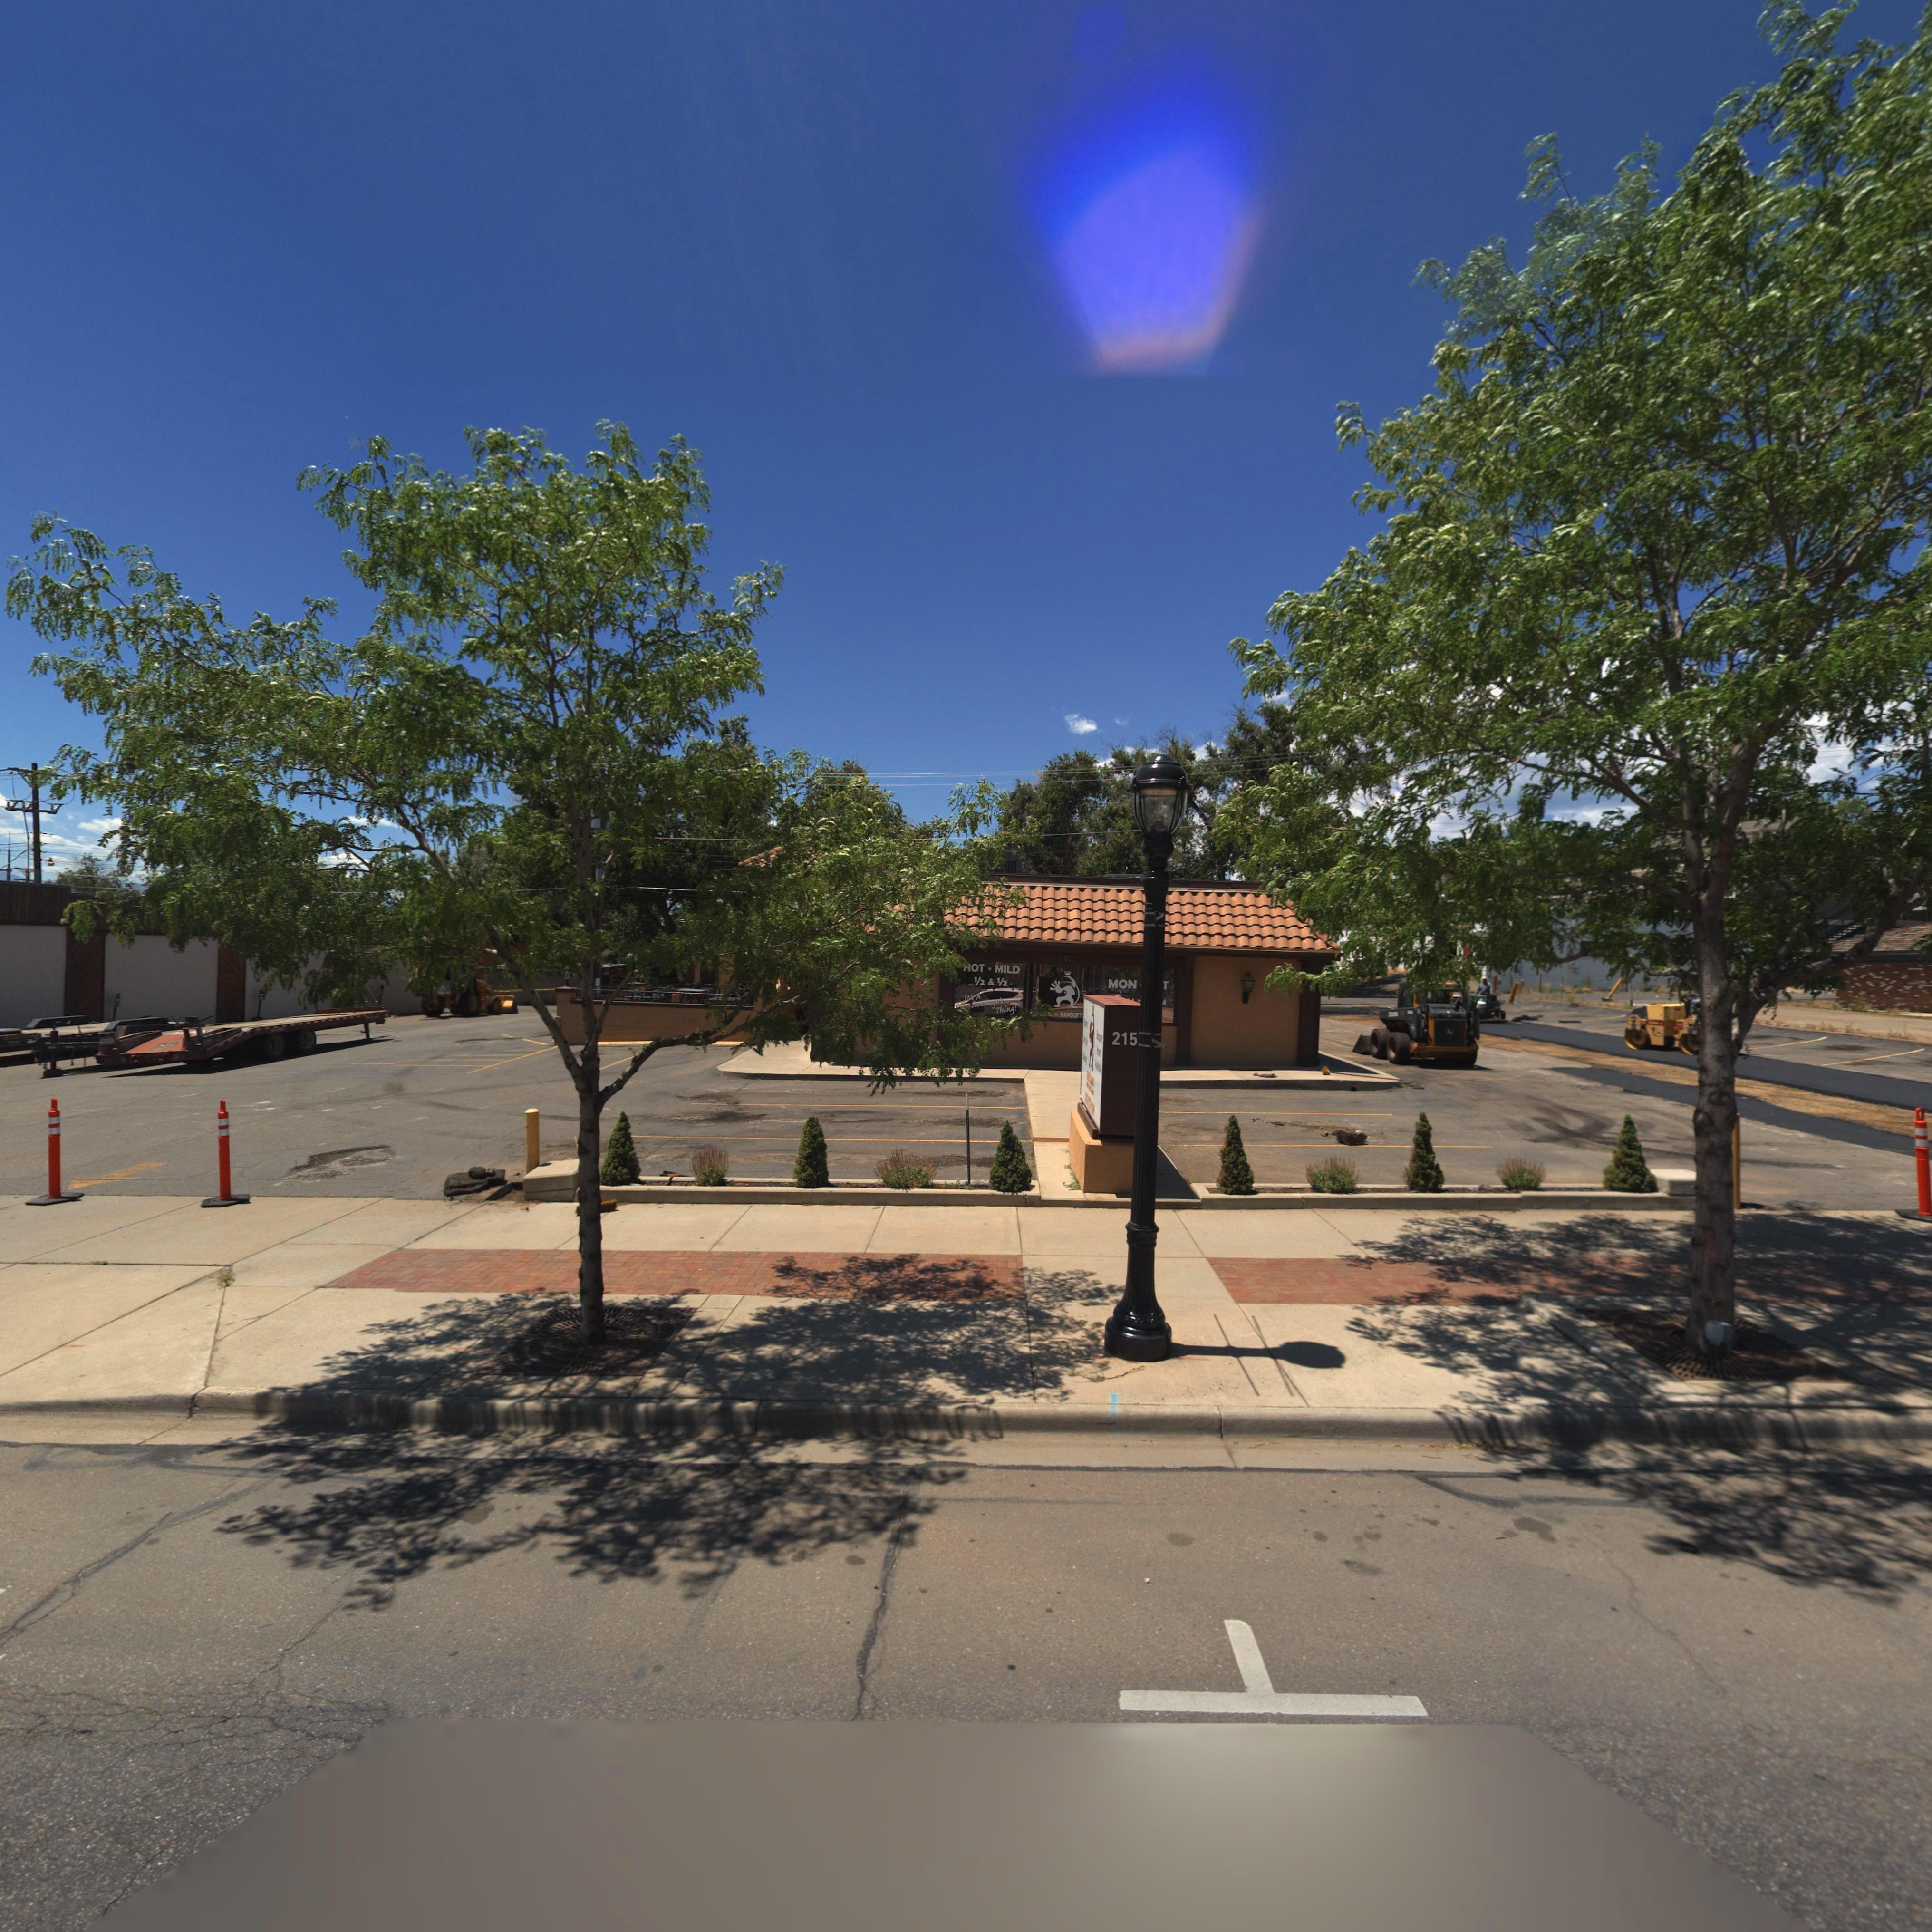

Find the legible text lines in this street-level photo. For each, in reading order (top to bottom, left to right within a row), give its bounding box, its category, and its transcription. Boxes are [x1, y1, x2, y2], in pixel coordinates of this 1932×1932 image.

[1112, 1031, 1138, 1046] StreetNumber: 215